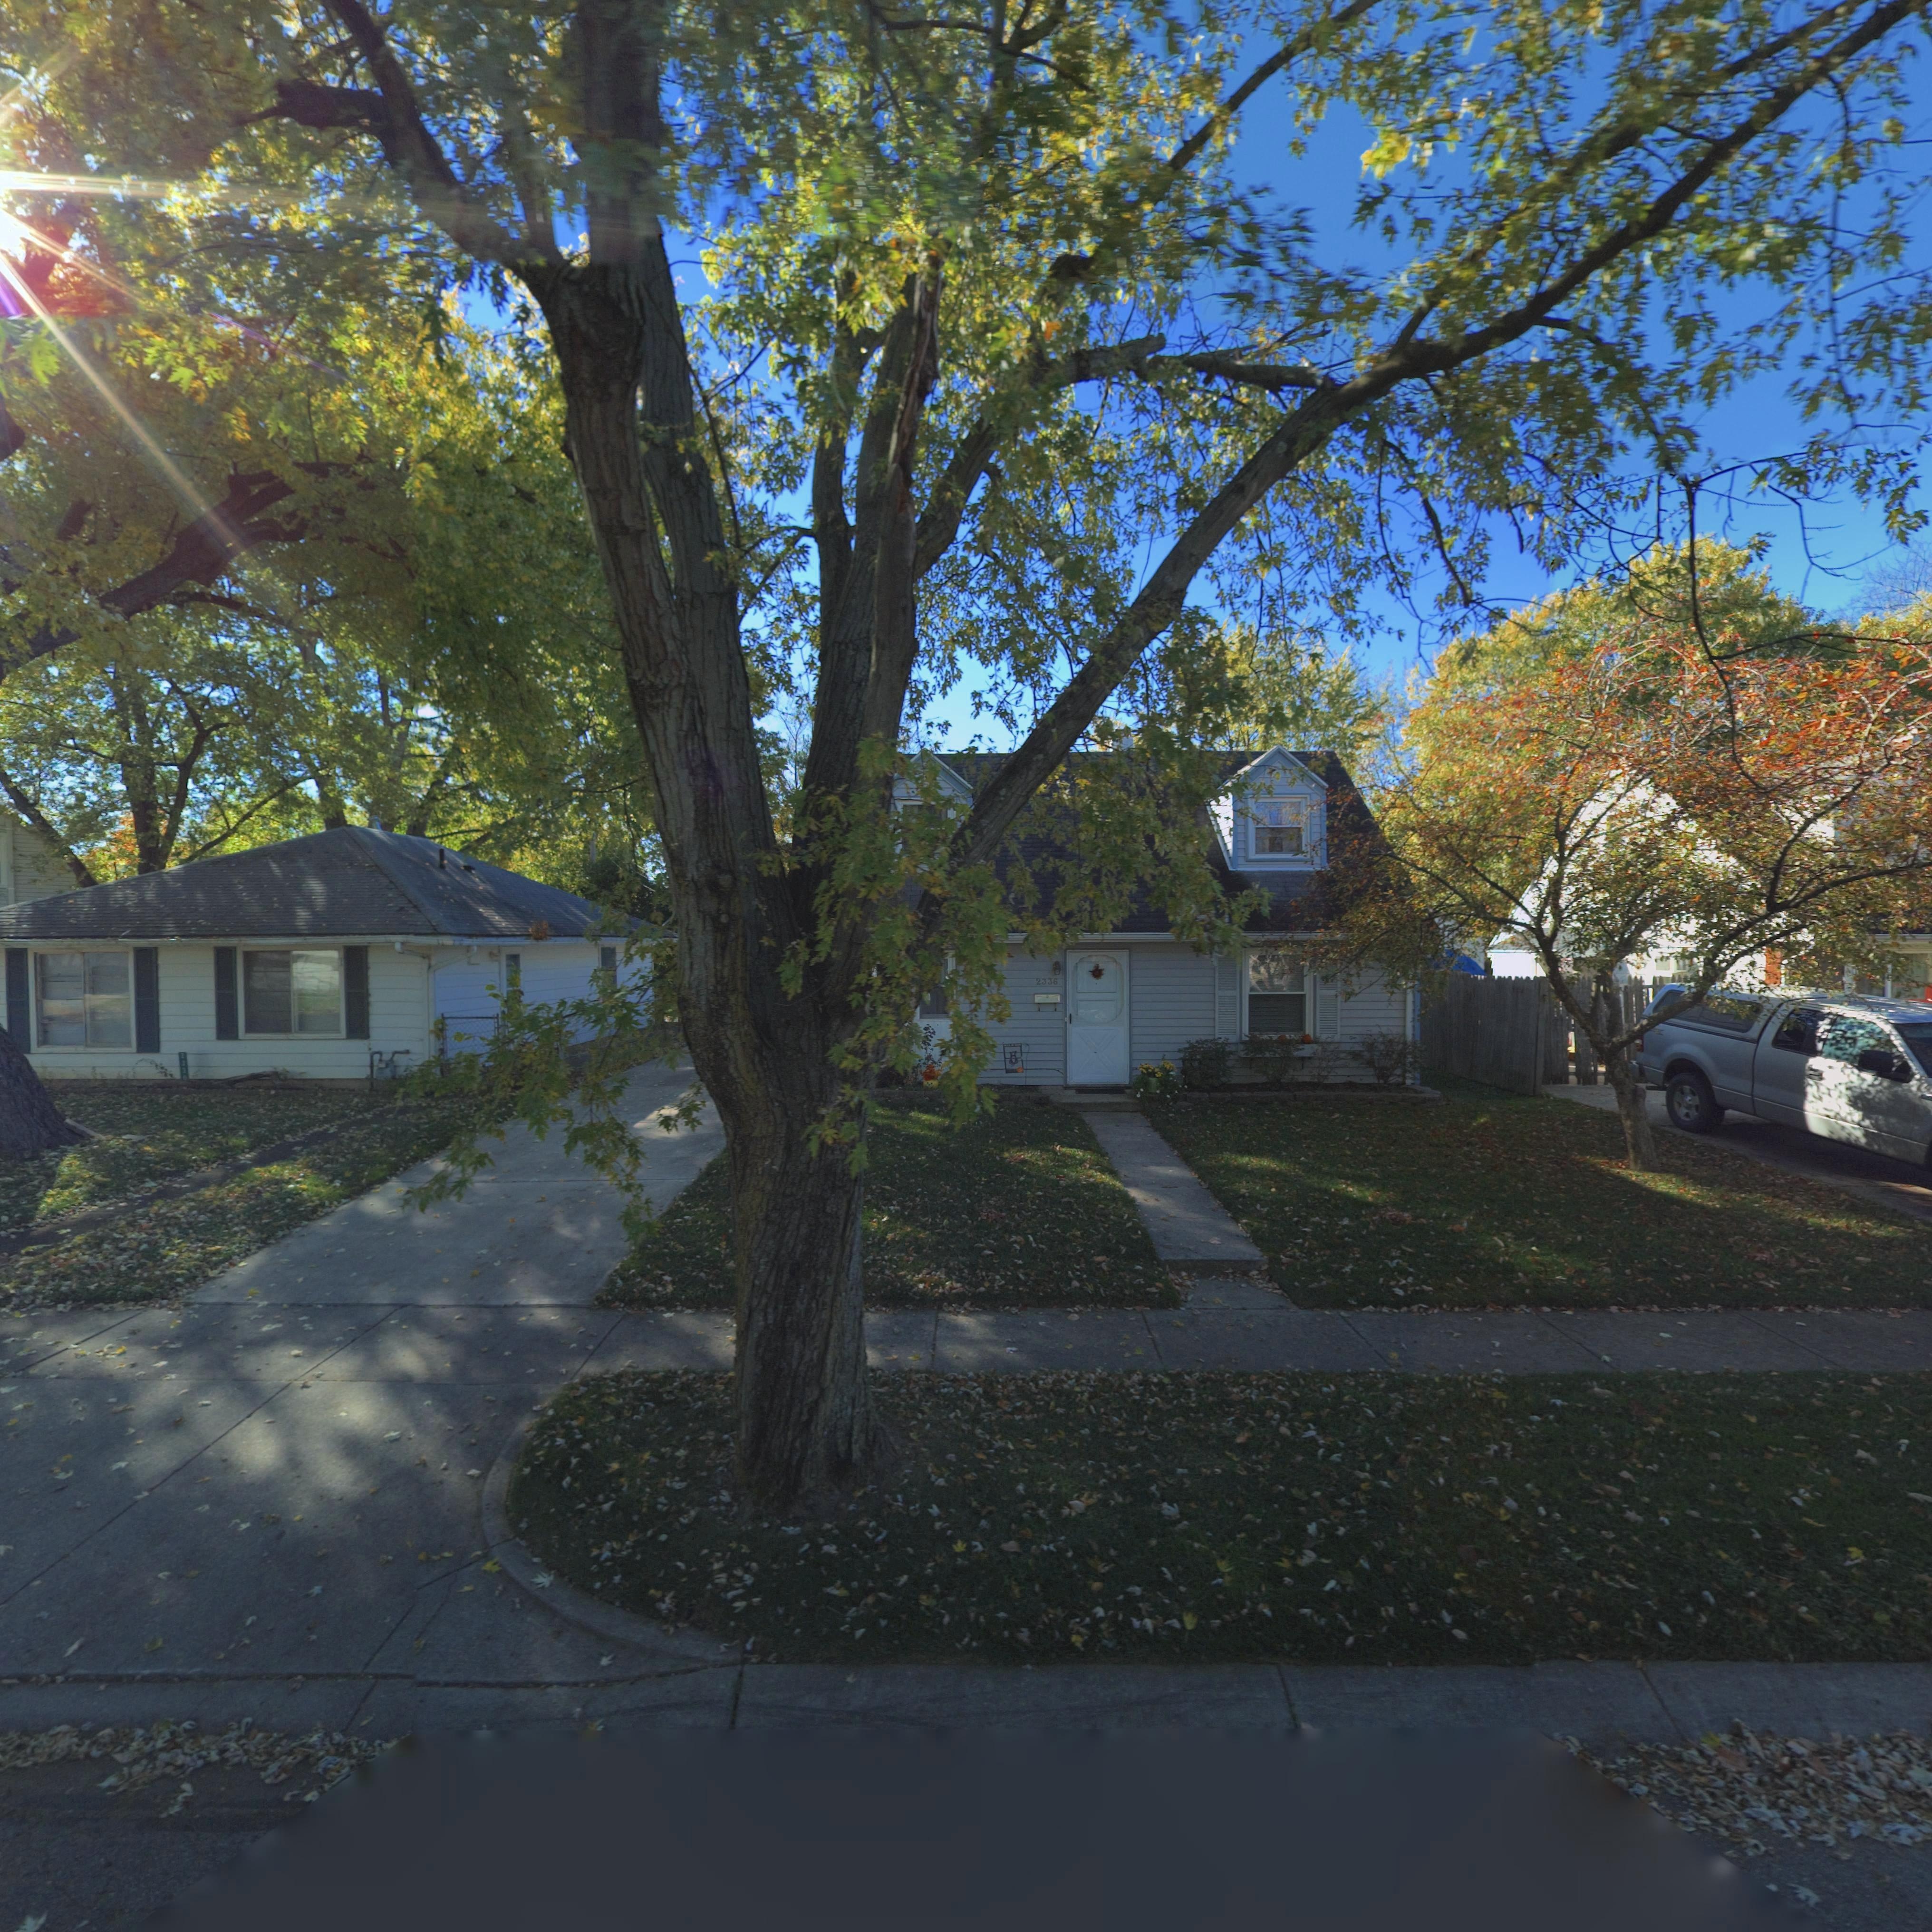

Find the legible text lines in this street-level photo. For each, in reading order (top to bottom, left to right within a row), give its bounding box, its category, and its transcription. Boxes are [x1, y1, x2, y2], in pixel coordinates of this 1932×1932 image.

[1035, 977, 1059, 985] StreetNumber: 2336